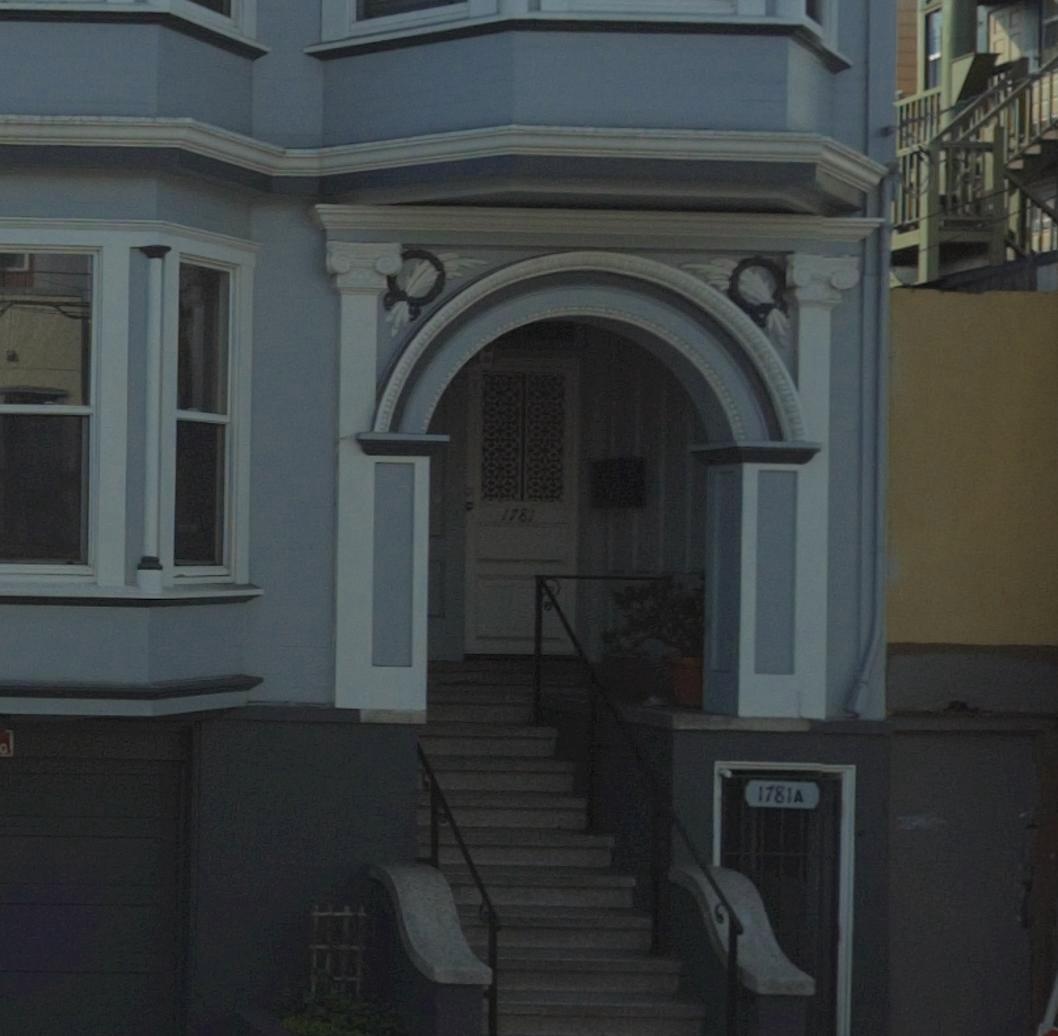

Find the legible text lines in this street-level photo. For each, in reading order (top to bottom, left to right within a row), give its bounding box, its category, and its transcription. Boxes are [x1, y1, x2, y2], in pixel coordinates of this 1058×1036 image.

[498, 506, 537, 524] StreetNumber: 1781
[756, 783, 806, 806] StreetNumber: 1781A